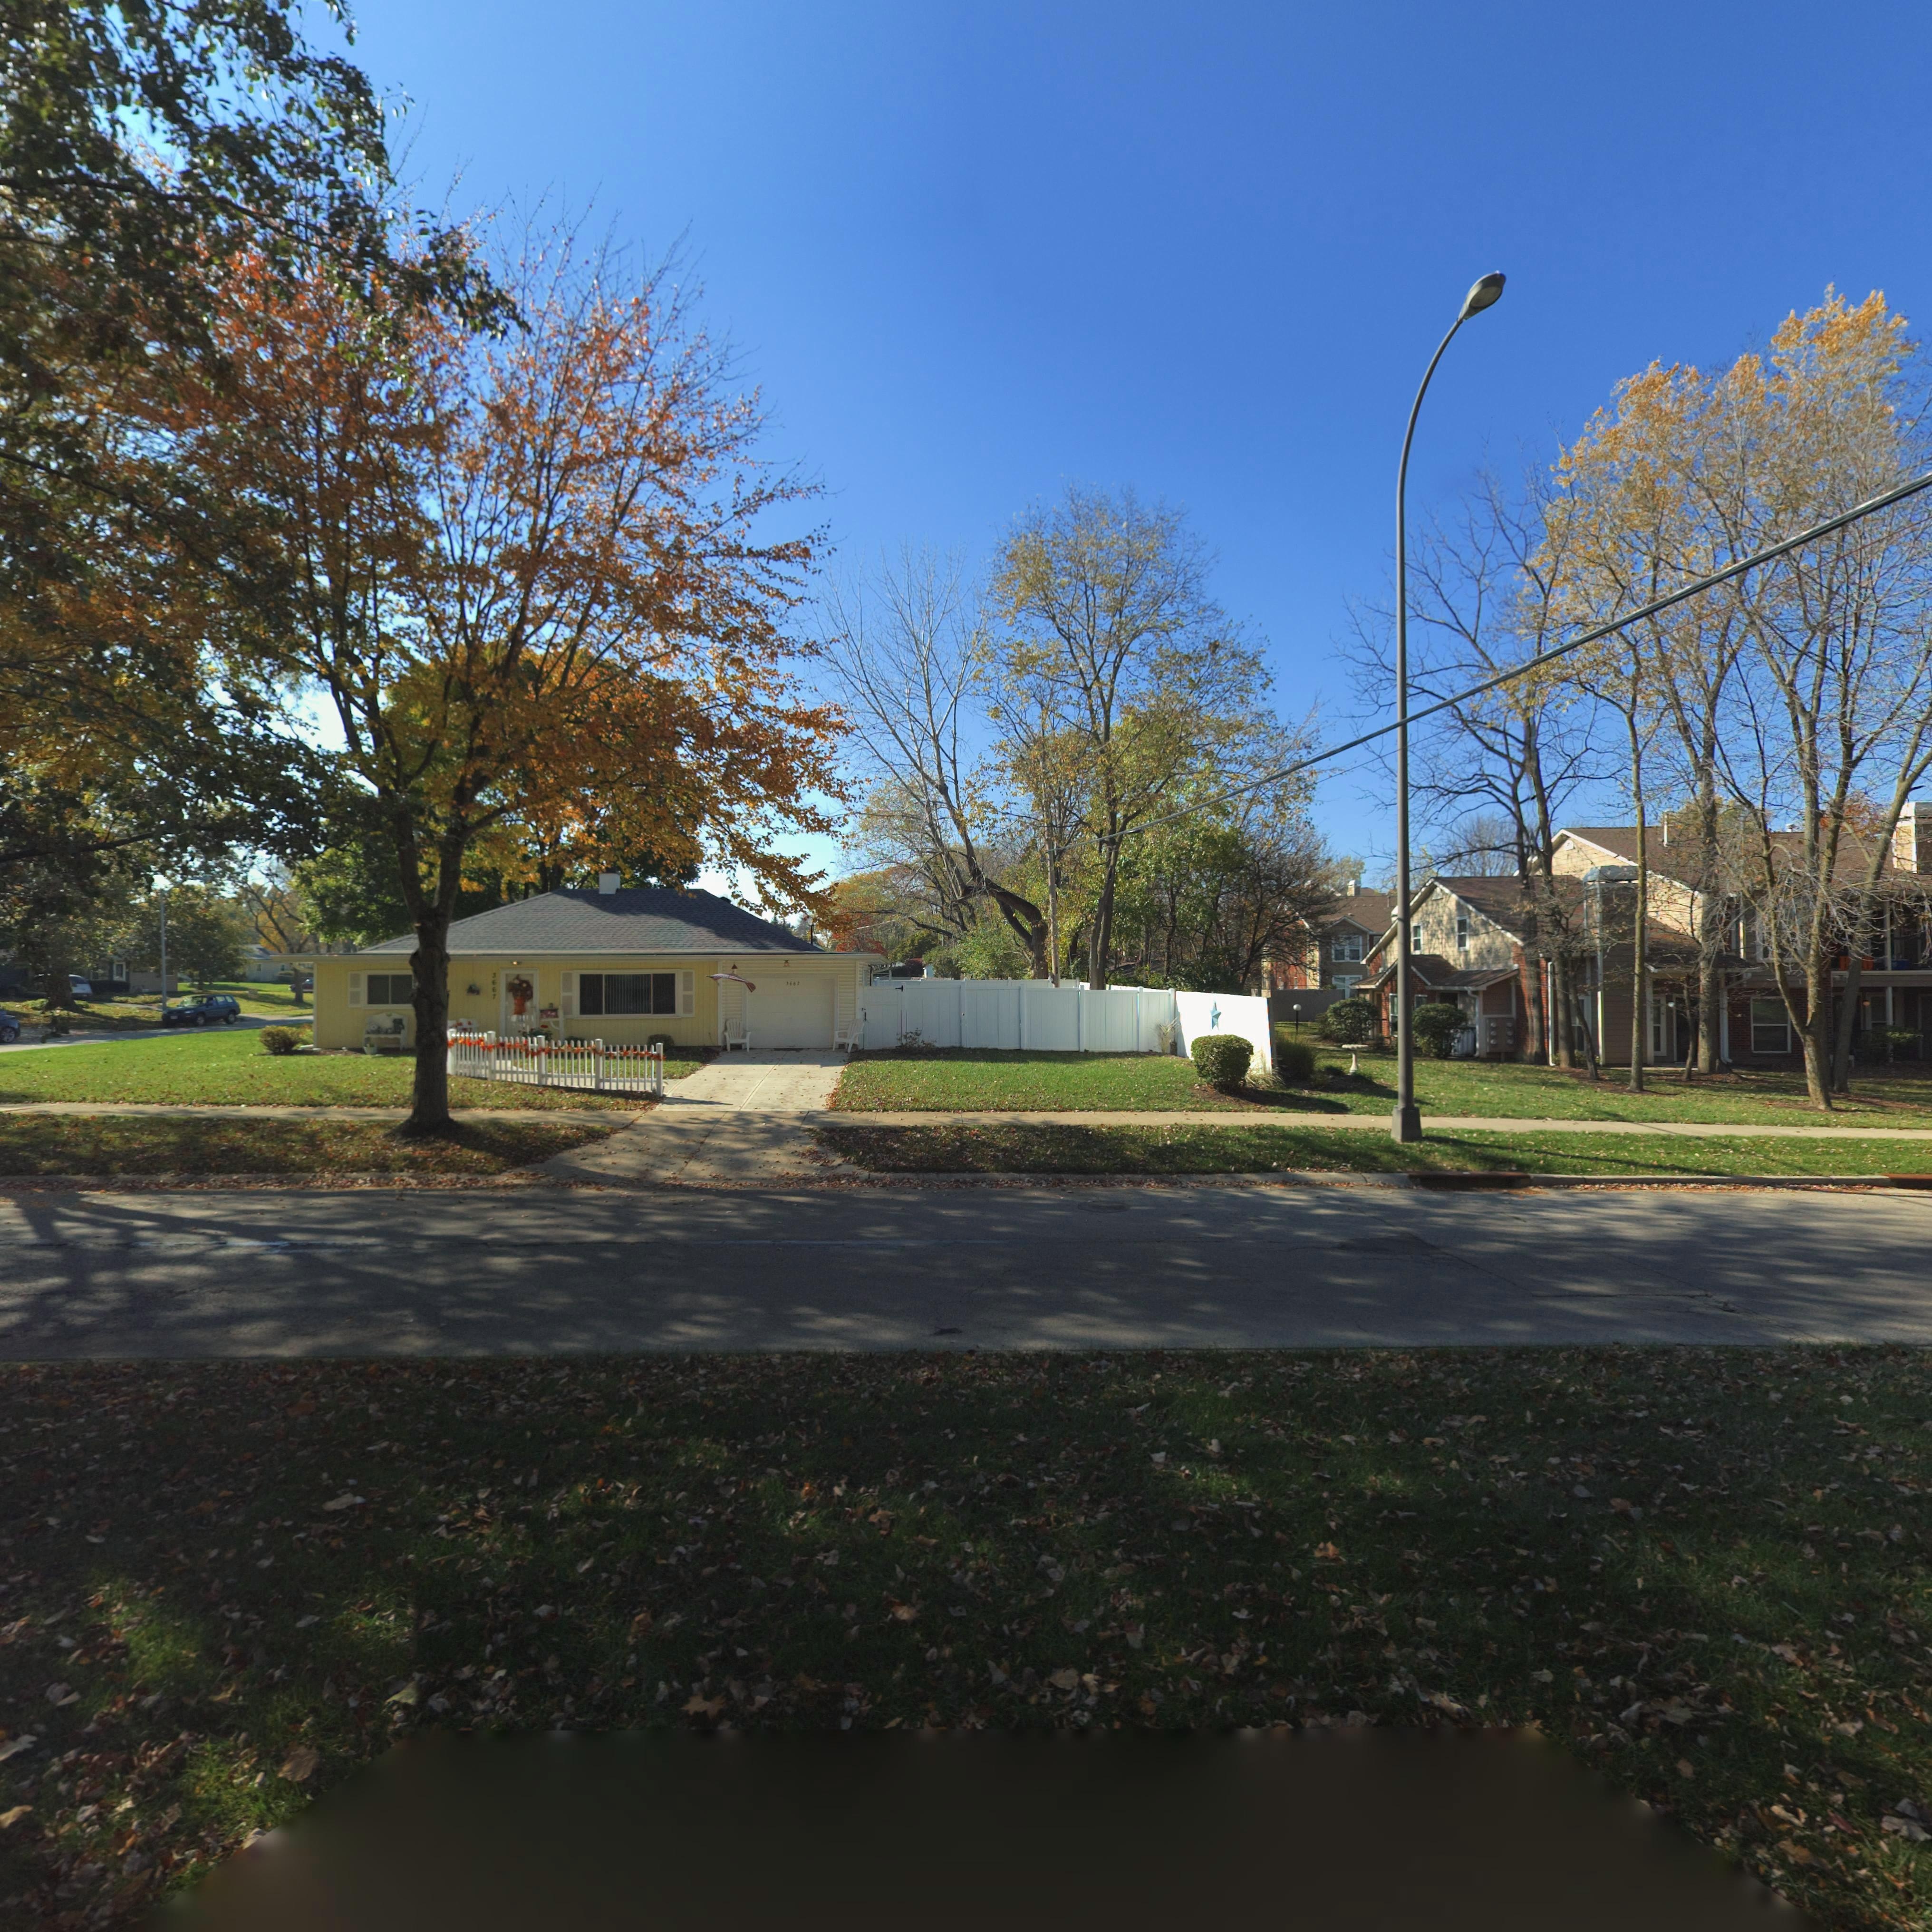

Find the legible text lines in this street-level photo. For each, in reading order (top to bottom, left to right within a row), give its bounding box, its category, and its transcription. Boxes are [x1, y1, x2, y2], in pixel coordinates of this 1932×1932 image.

[491, 971, 497, 1000] StreetNumber: 3667
[785, 980, 801, 987] StreetNumber: 3667